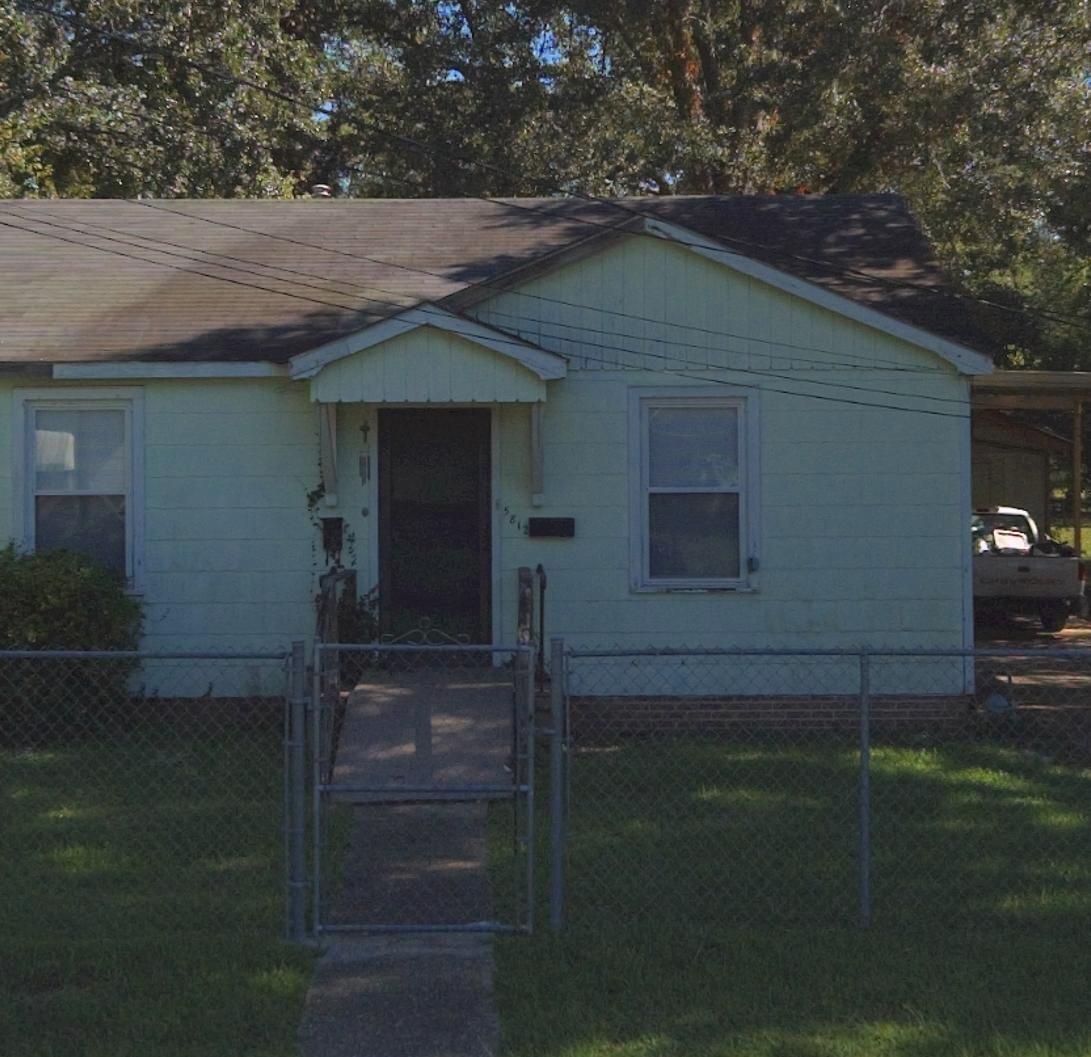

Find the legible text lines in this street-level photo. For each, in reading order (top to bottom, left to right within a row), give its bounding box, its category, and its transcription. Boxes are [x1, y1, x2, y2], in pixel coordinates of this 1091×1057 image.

[504, 506, 530, 536] StreetNumber: 5812